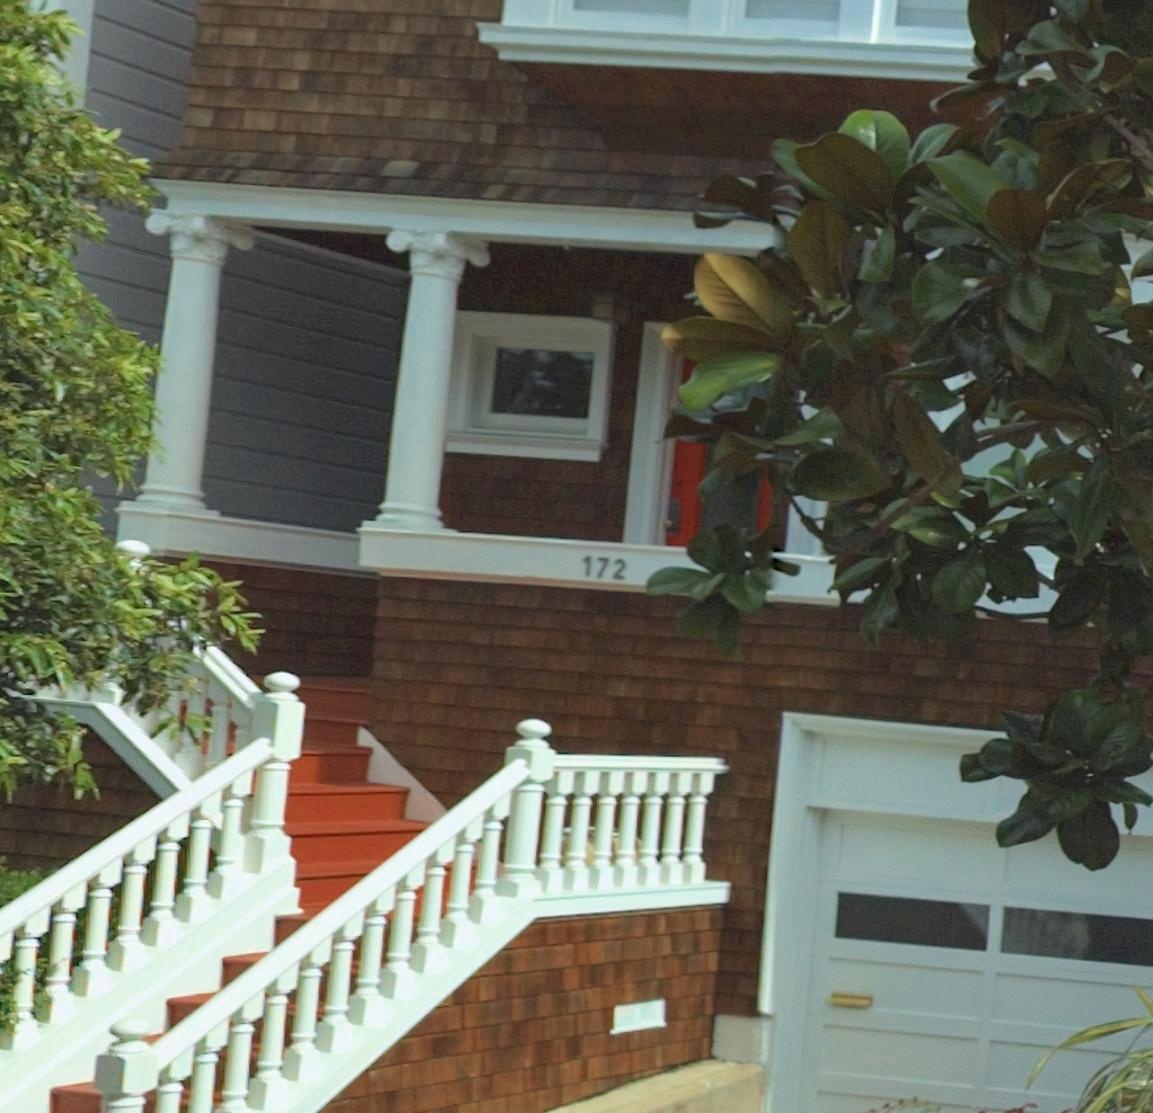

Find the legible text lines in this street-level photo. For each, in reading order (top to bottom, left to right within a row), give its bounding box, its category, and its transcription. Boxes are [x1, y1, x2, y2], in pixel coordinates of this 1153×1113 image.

[579, 553, 629, 583] StreetNumber: 172